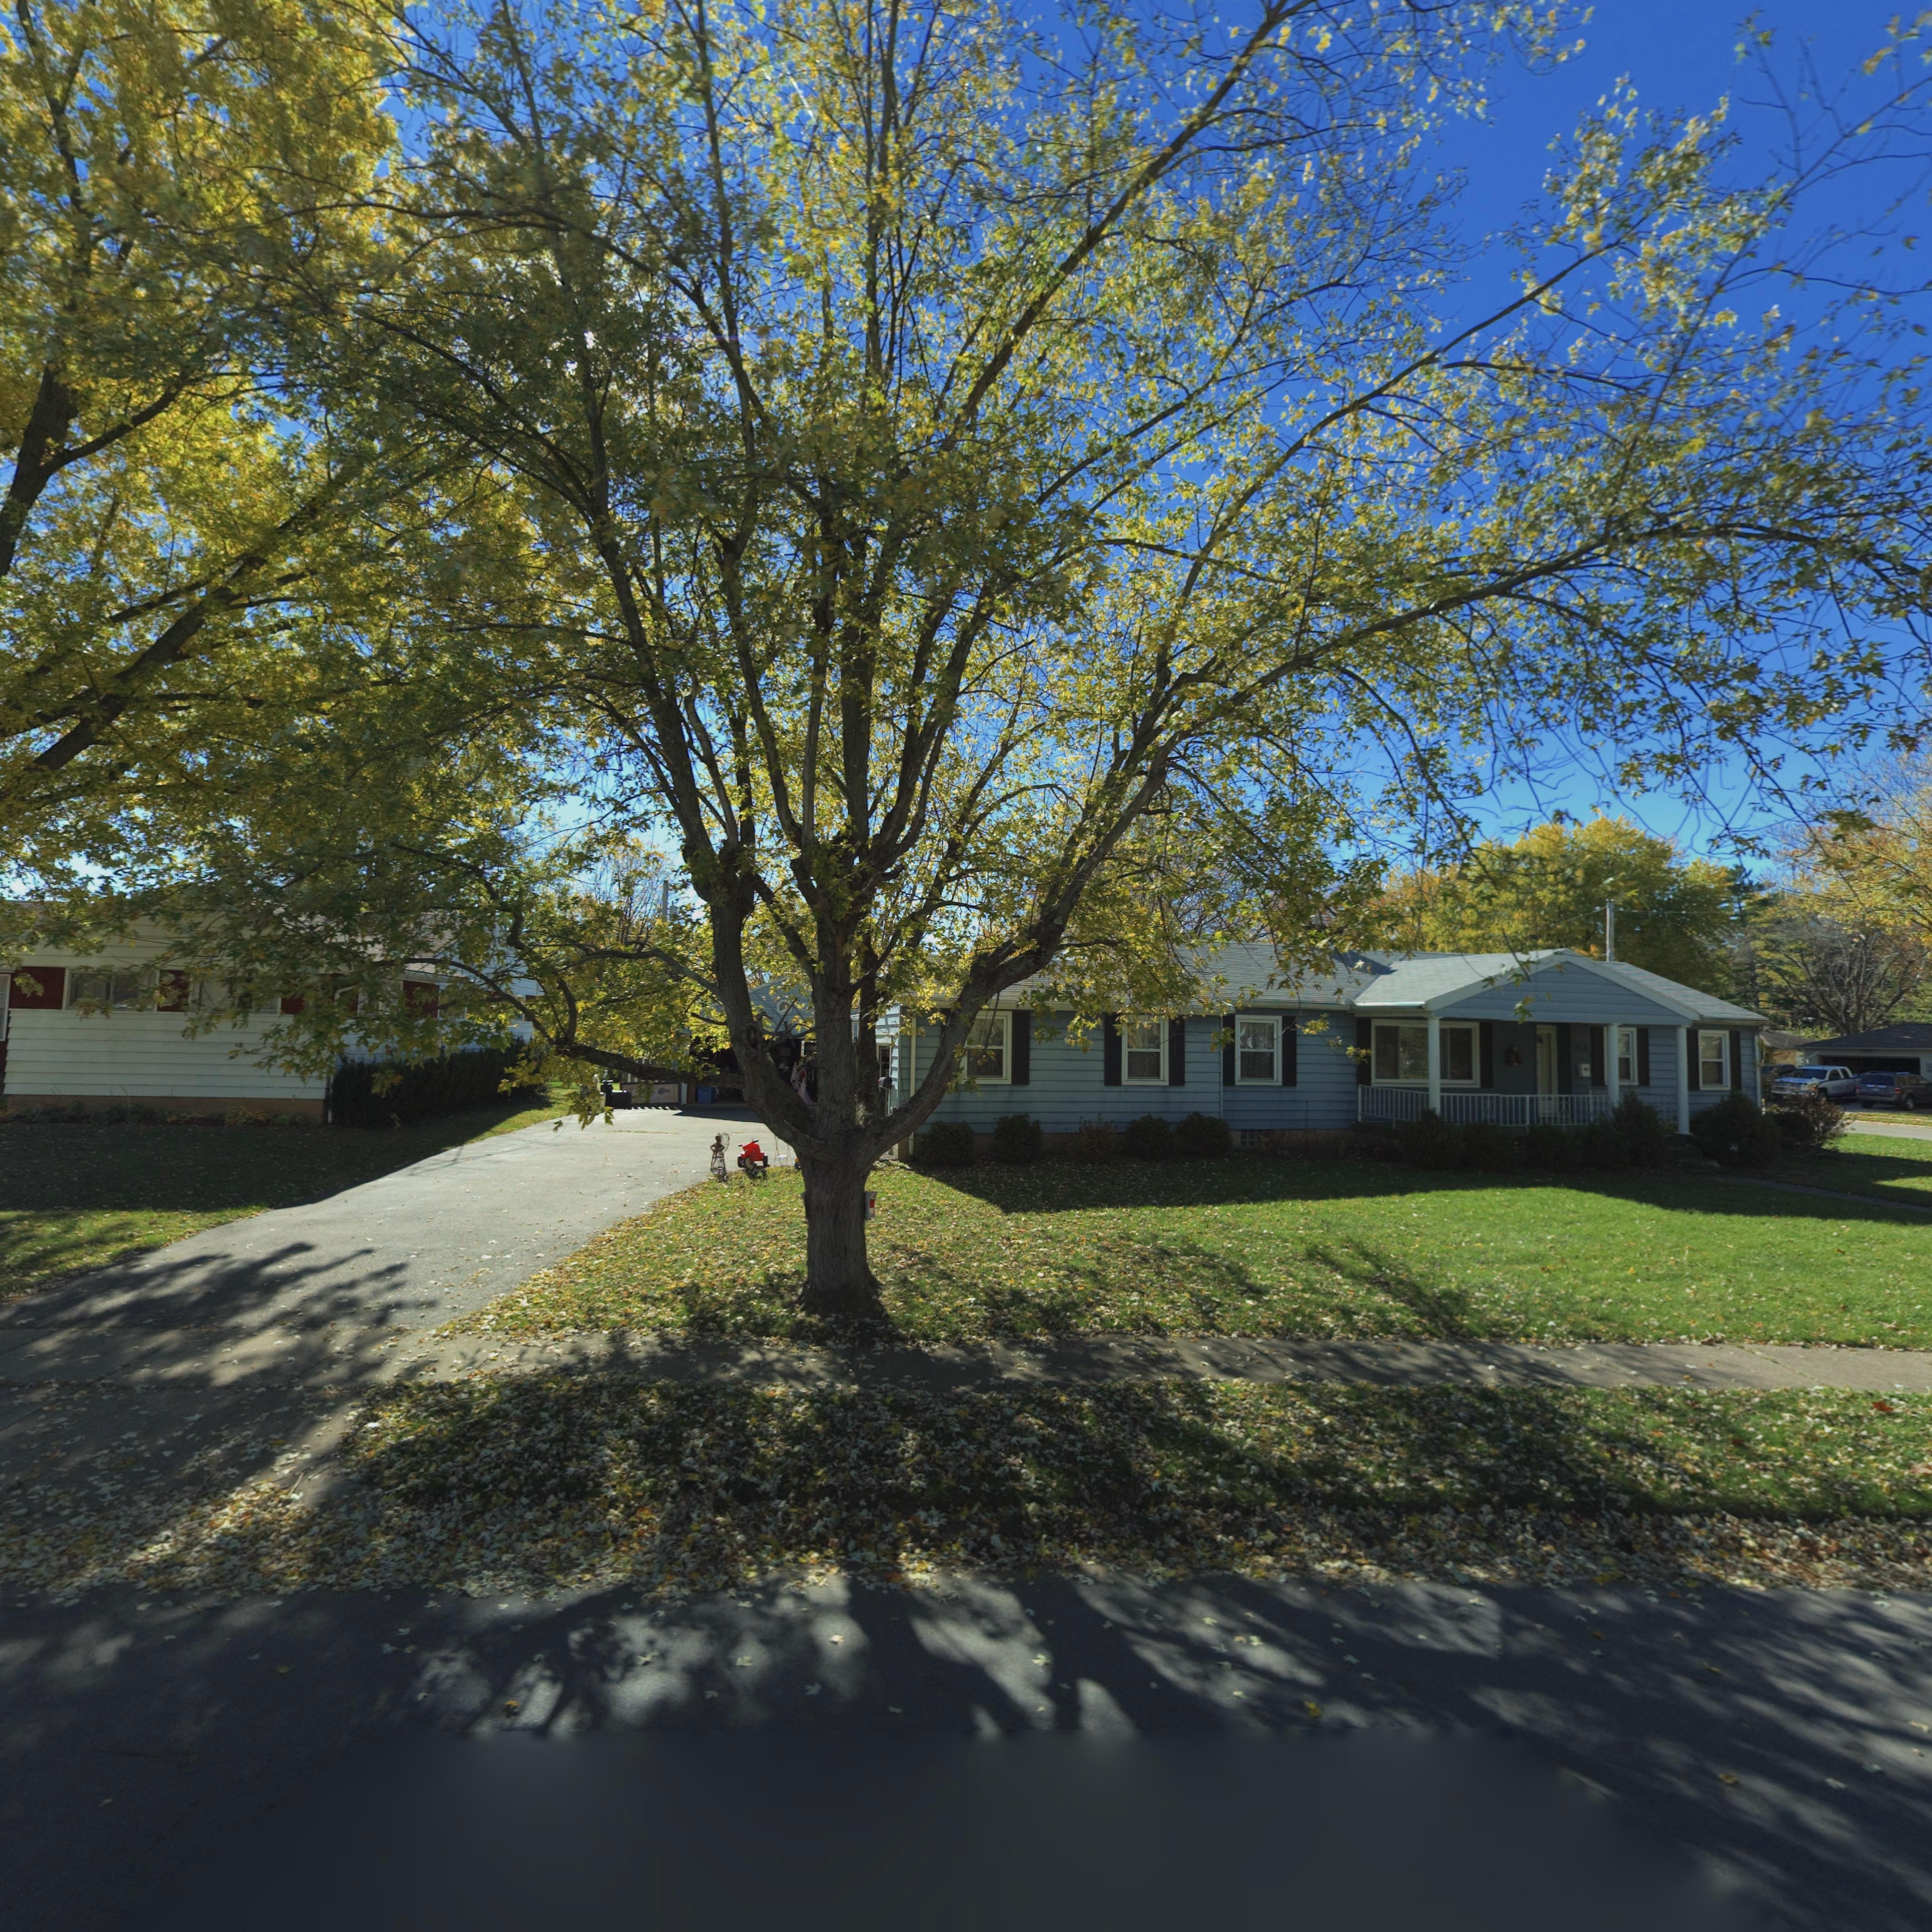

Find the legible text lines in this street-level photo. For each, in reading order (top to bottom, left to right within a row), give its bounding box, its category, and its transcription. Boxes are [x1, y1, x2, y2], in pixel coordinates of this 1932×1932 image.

[1574, 1043, 1588, 1052] StreetNumber: 216